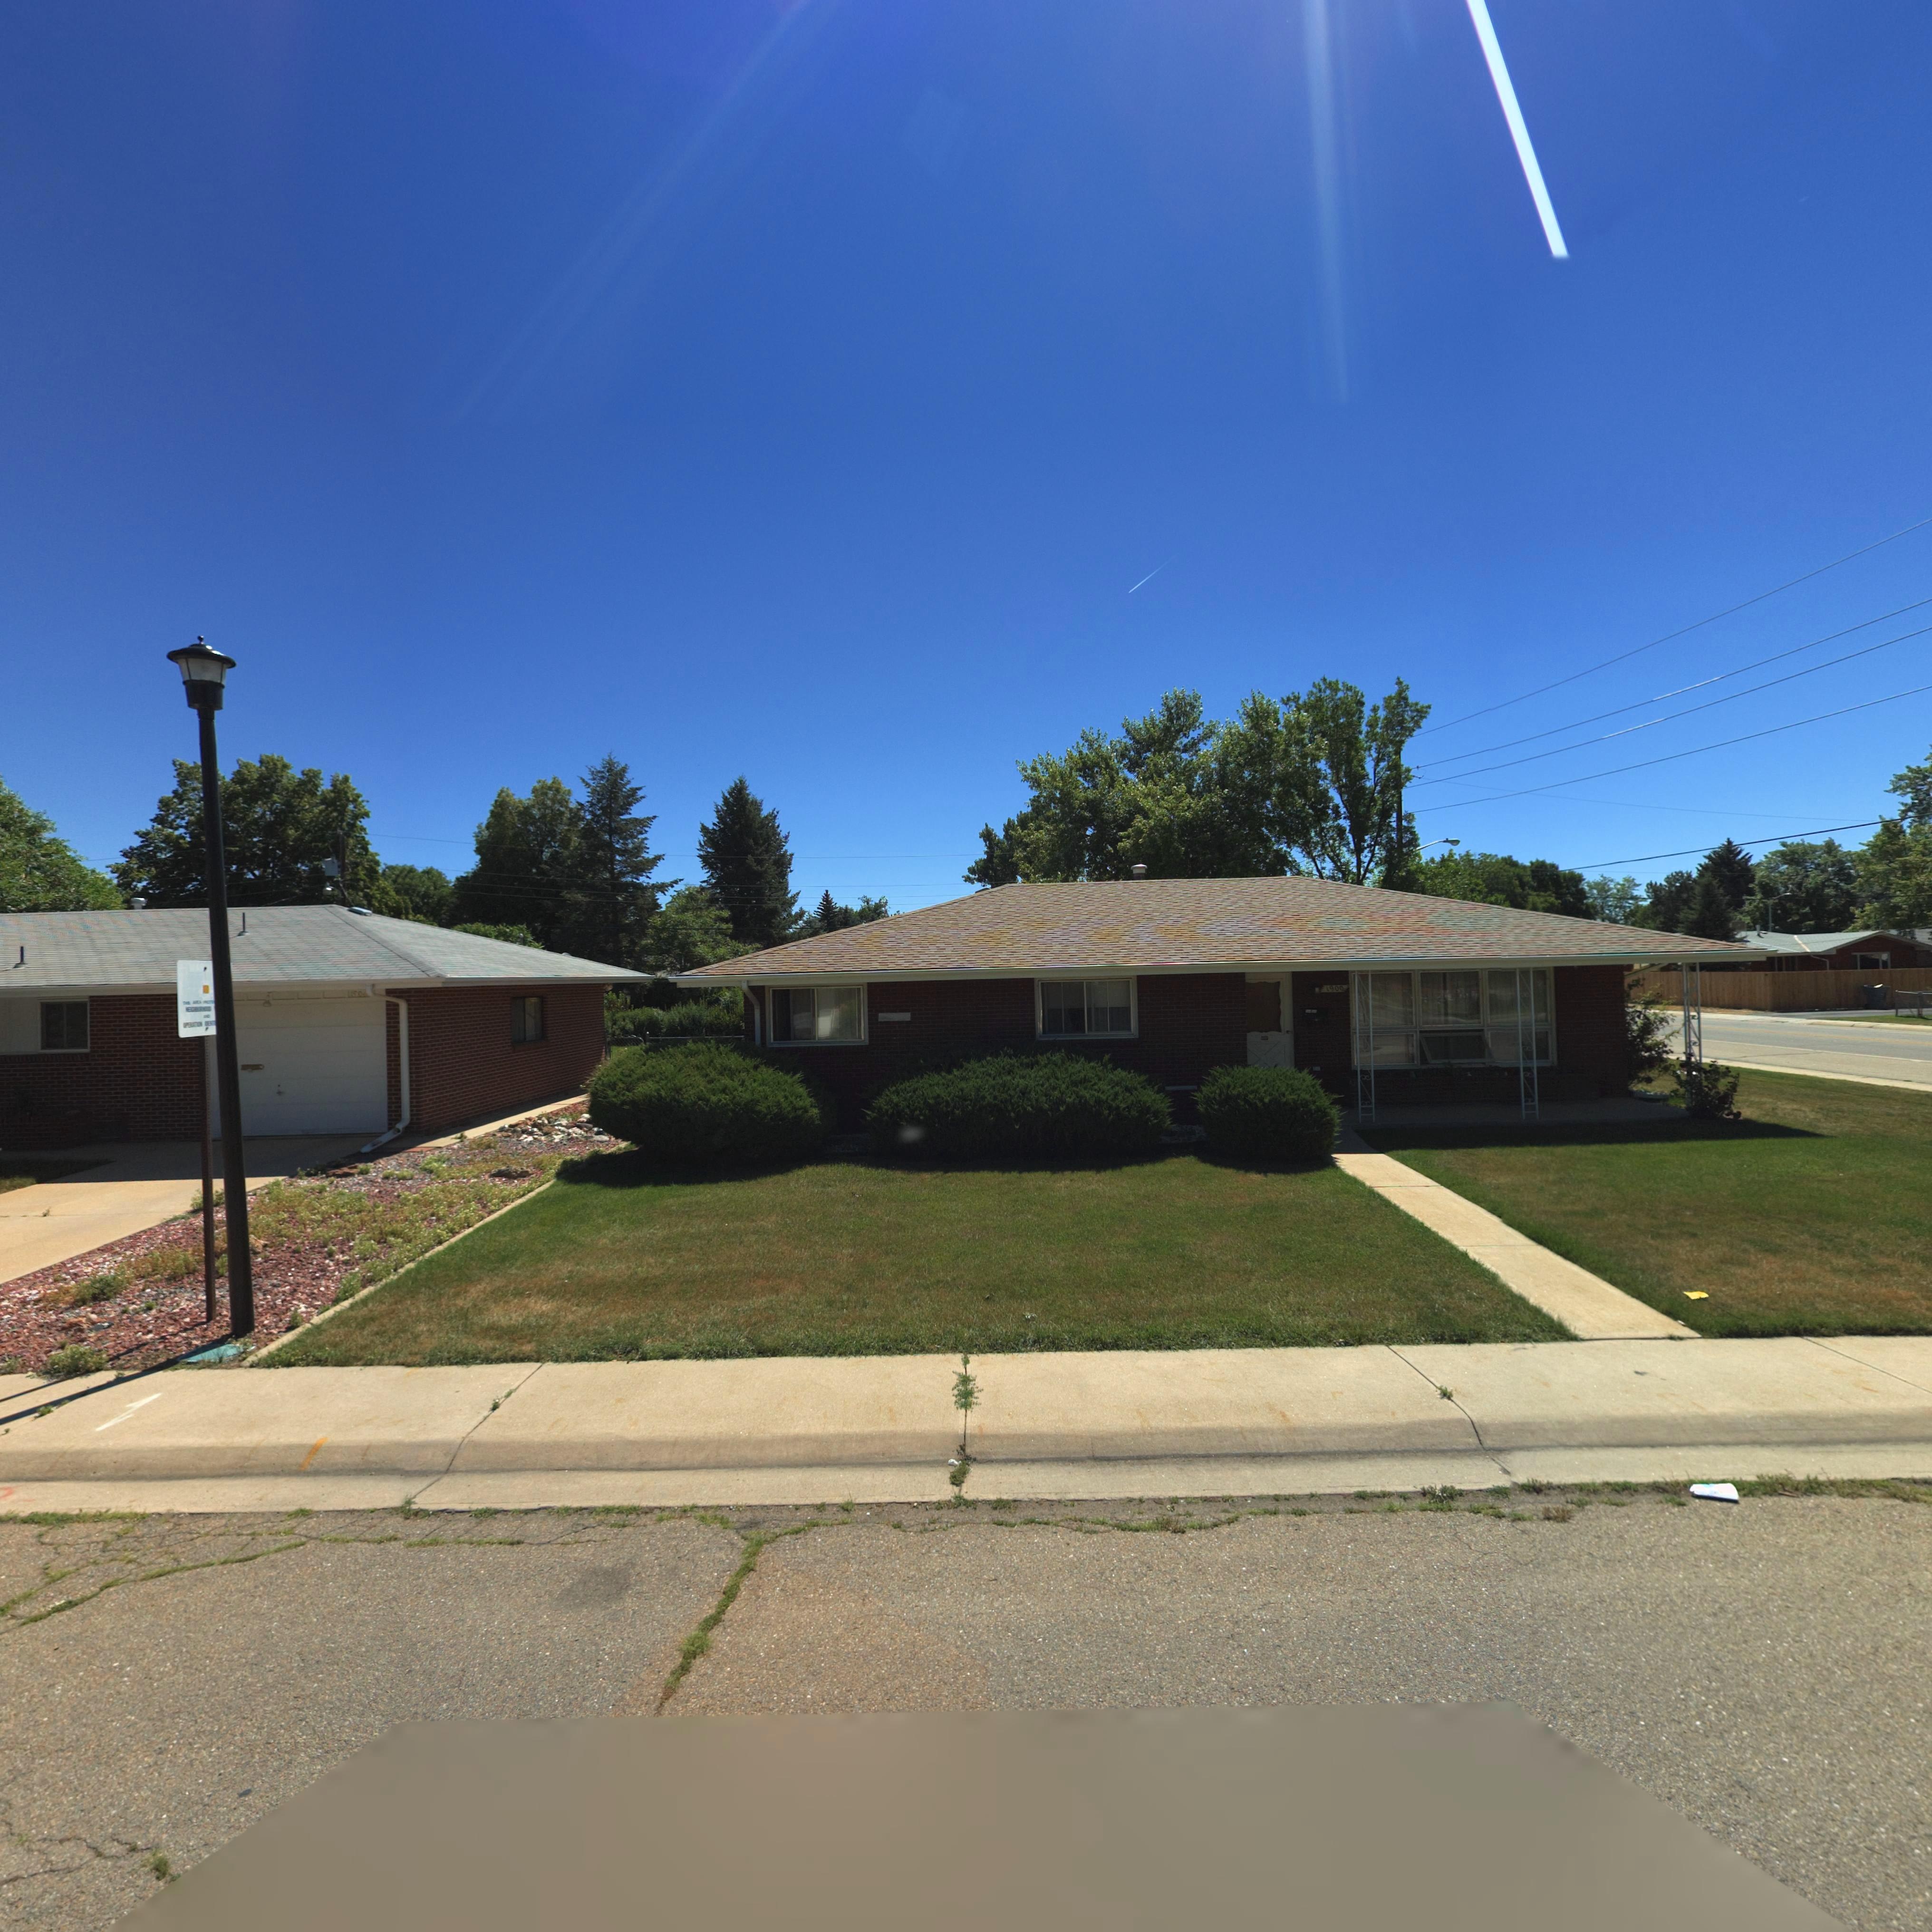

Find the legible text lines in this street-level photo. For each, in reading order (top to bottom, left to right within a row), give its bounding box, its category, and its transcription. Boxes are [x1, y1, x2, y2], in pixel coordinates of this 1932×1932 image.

[1325, 984, 1344, 992] StreetNumber: 1900
[349, 989, 367, 997] StreetNumber: 190*